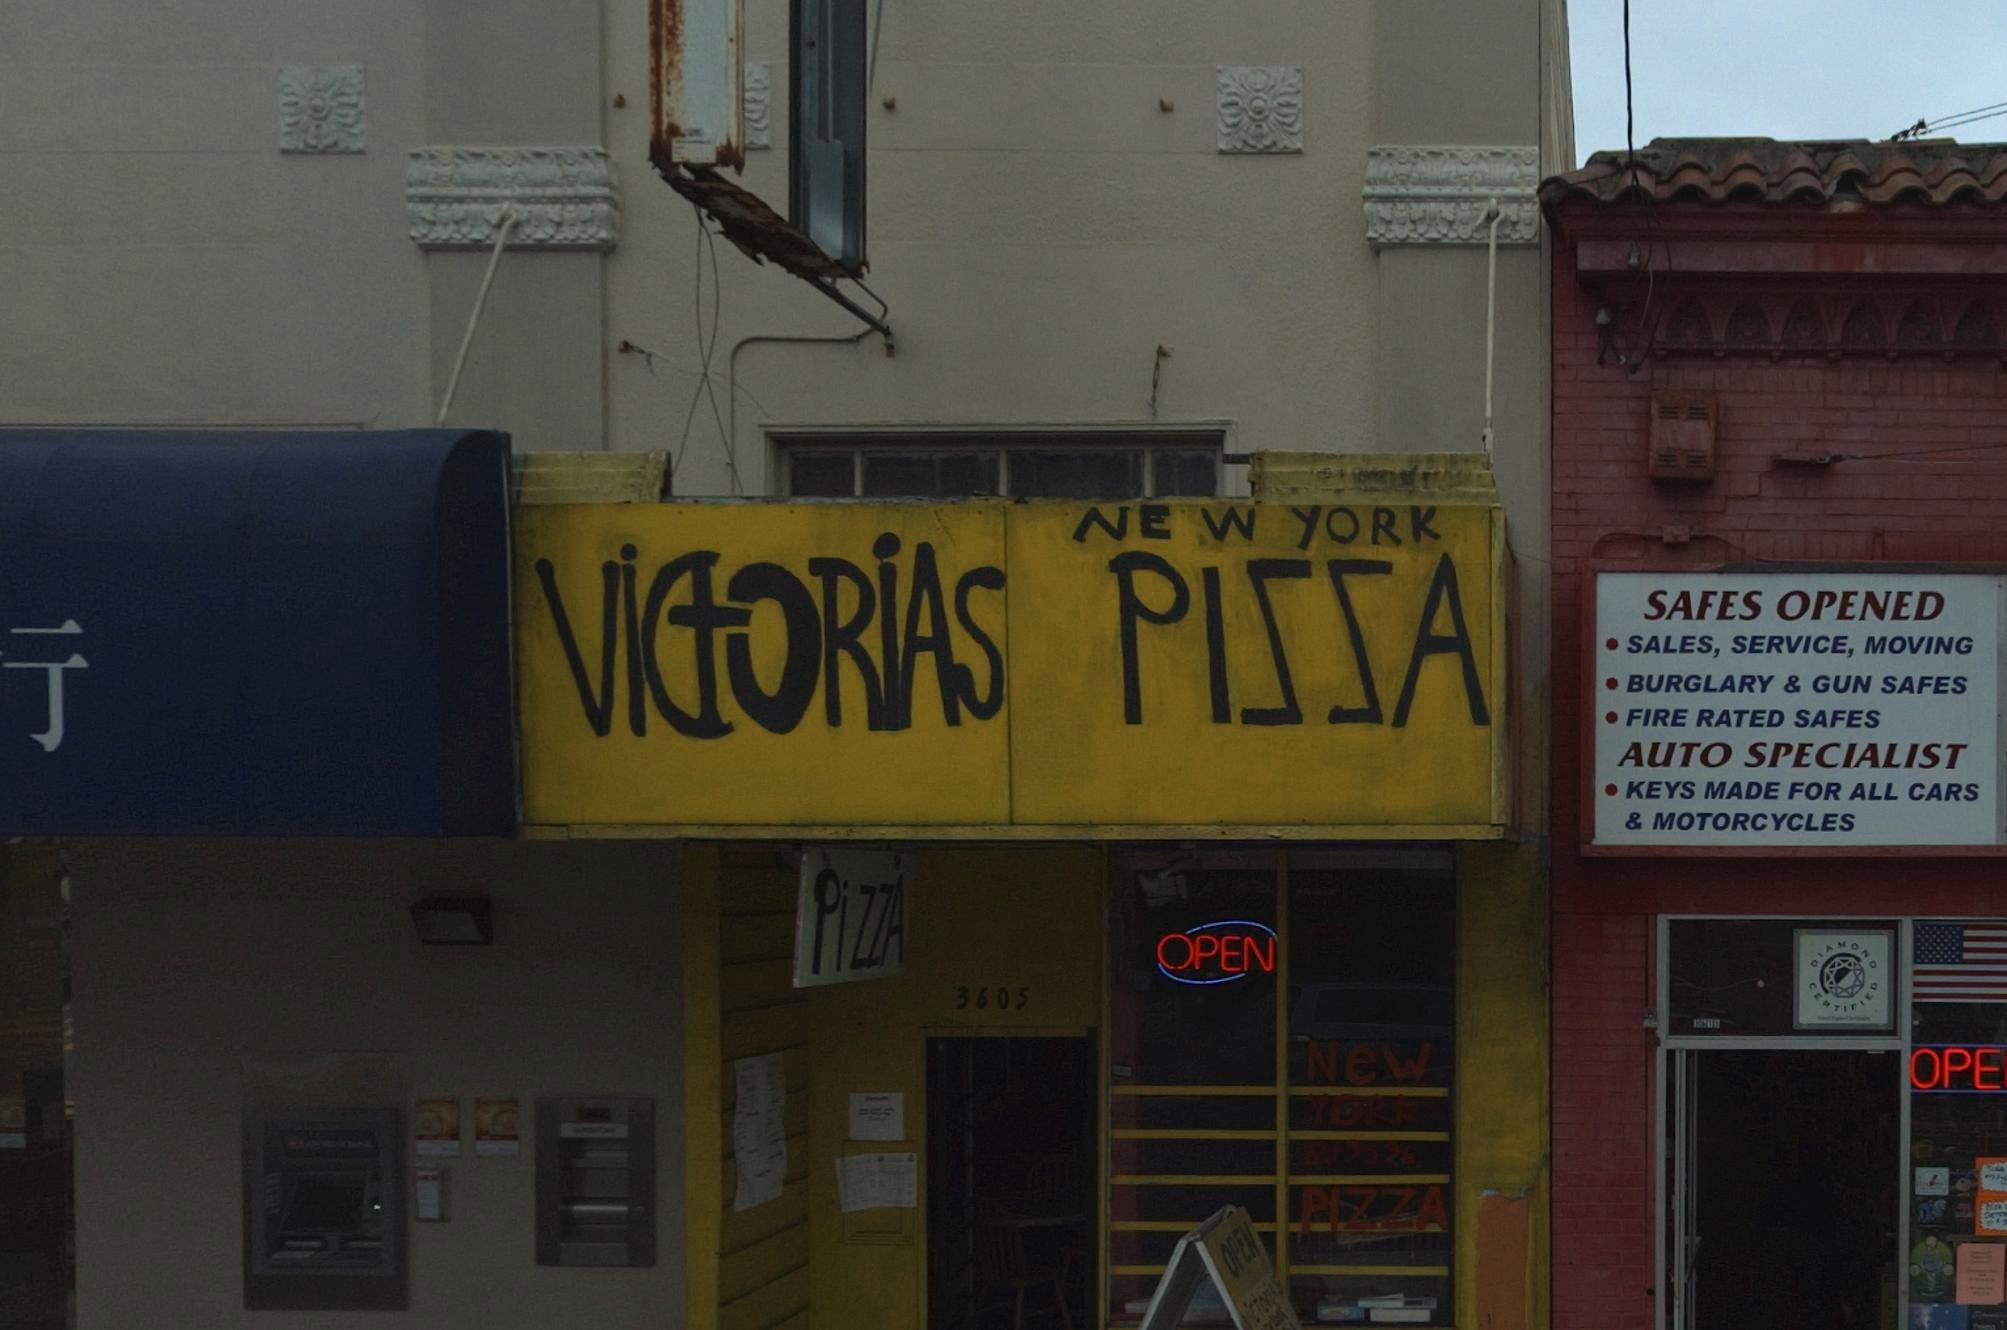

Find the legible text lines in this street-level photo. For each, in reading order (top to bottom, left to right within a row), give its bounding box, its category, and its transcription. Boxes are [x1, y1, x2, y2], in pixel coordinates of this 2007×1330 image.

[1061, 498, 1450, 555] BusinessName: NEW YORK
[1639, 586, 1948, 623] None: SAFES OPENED
[520, 526, 1500, 747] BusinessName: ViCtORiAs  PI**A
[1623, 632, 1977, 661] None: SALES. SERVICE, MOVING
[1624, 671, 1971, 697] None: BURGLARY & GUN SAFES
[1622, 706, 1884, 730] None: FIRE RATED SAFES
[1612, 739, 1972, 770] None: AUTO SPECIALIST
[1623, 778, 1984, 804] None: KEYS MADE FOR ALL CARS
[1619, 809, 1858, 833] None: & MOTORCYCLES
[808, 866, 909, 979] None: PizzA
[1155, 931, 1277, 973] None: OPEN
[1807, 940, 1880, 970] None: DIAMOND
[953, 983, 1031, 1013] StreetNumber: 3605
[1807, 981, 1879, 1014] None: CERTIFIED
[1305, 1037, 1434, 1088] None: New
[1908, 1045, 2004, 1092] None: OPE
[1305, 1091, 1421, 1128] None: York
[1298, 1183, 1452, 1236] None: PIZZA
[1217, 1217, 1264, 1281] None: OPEN